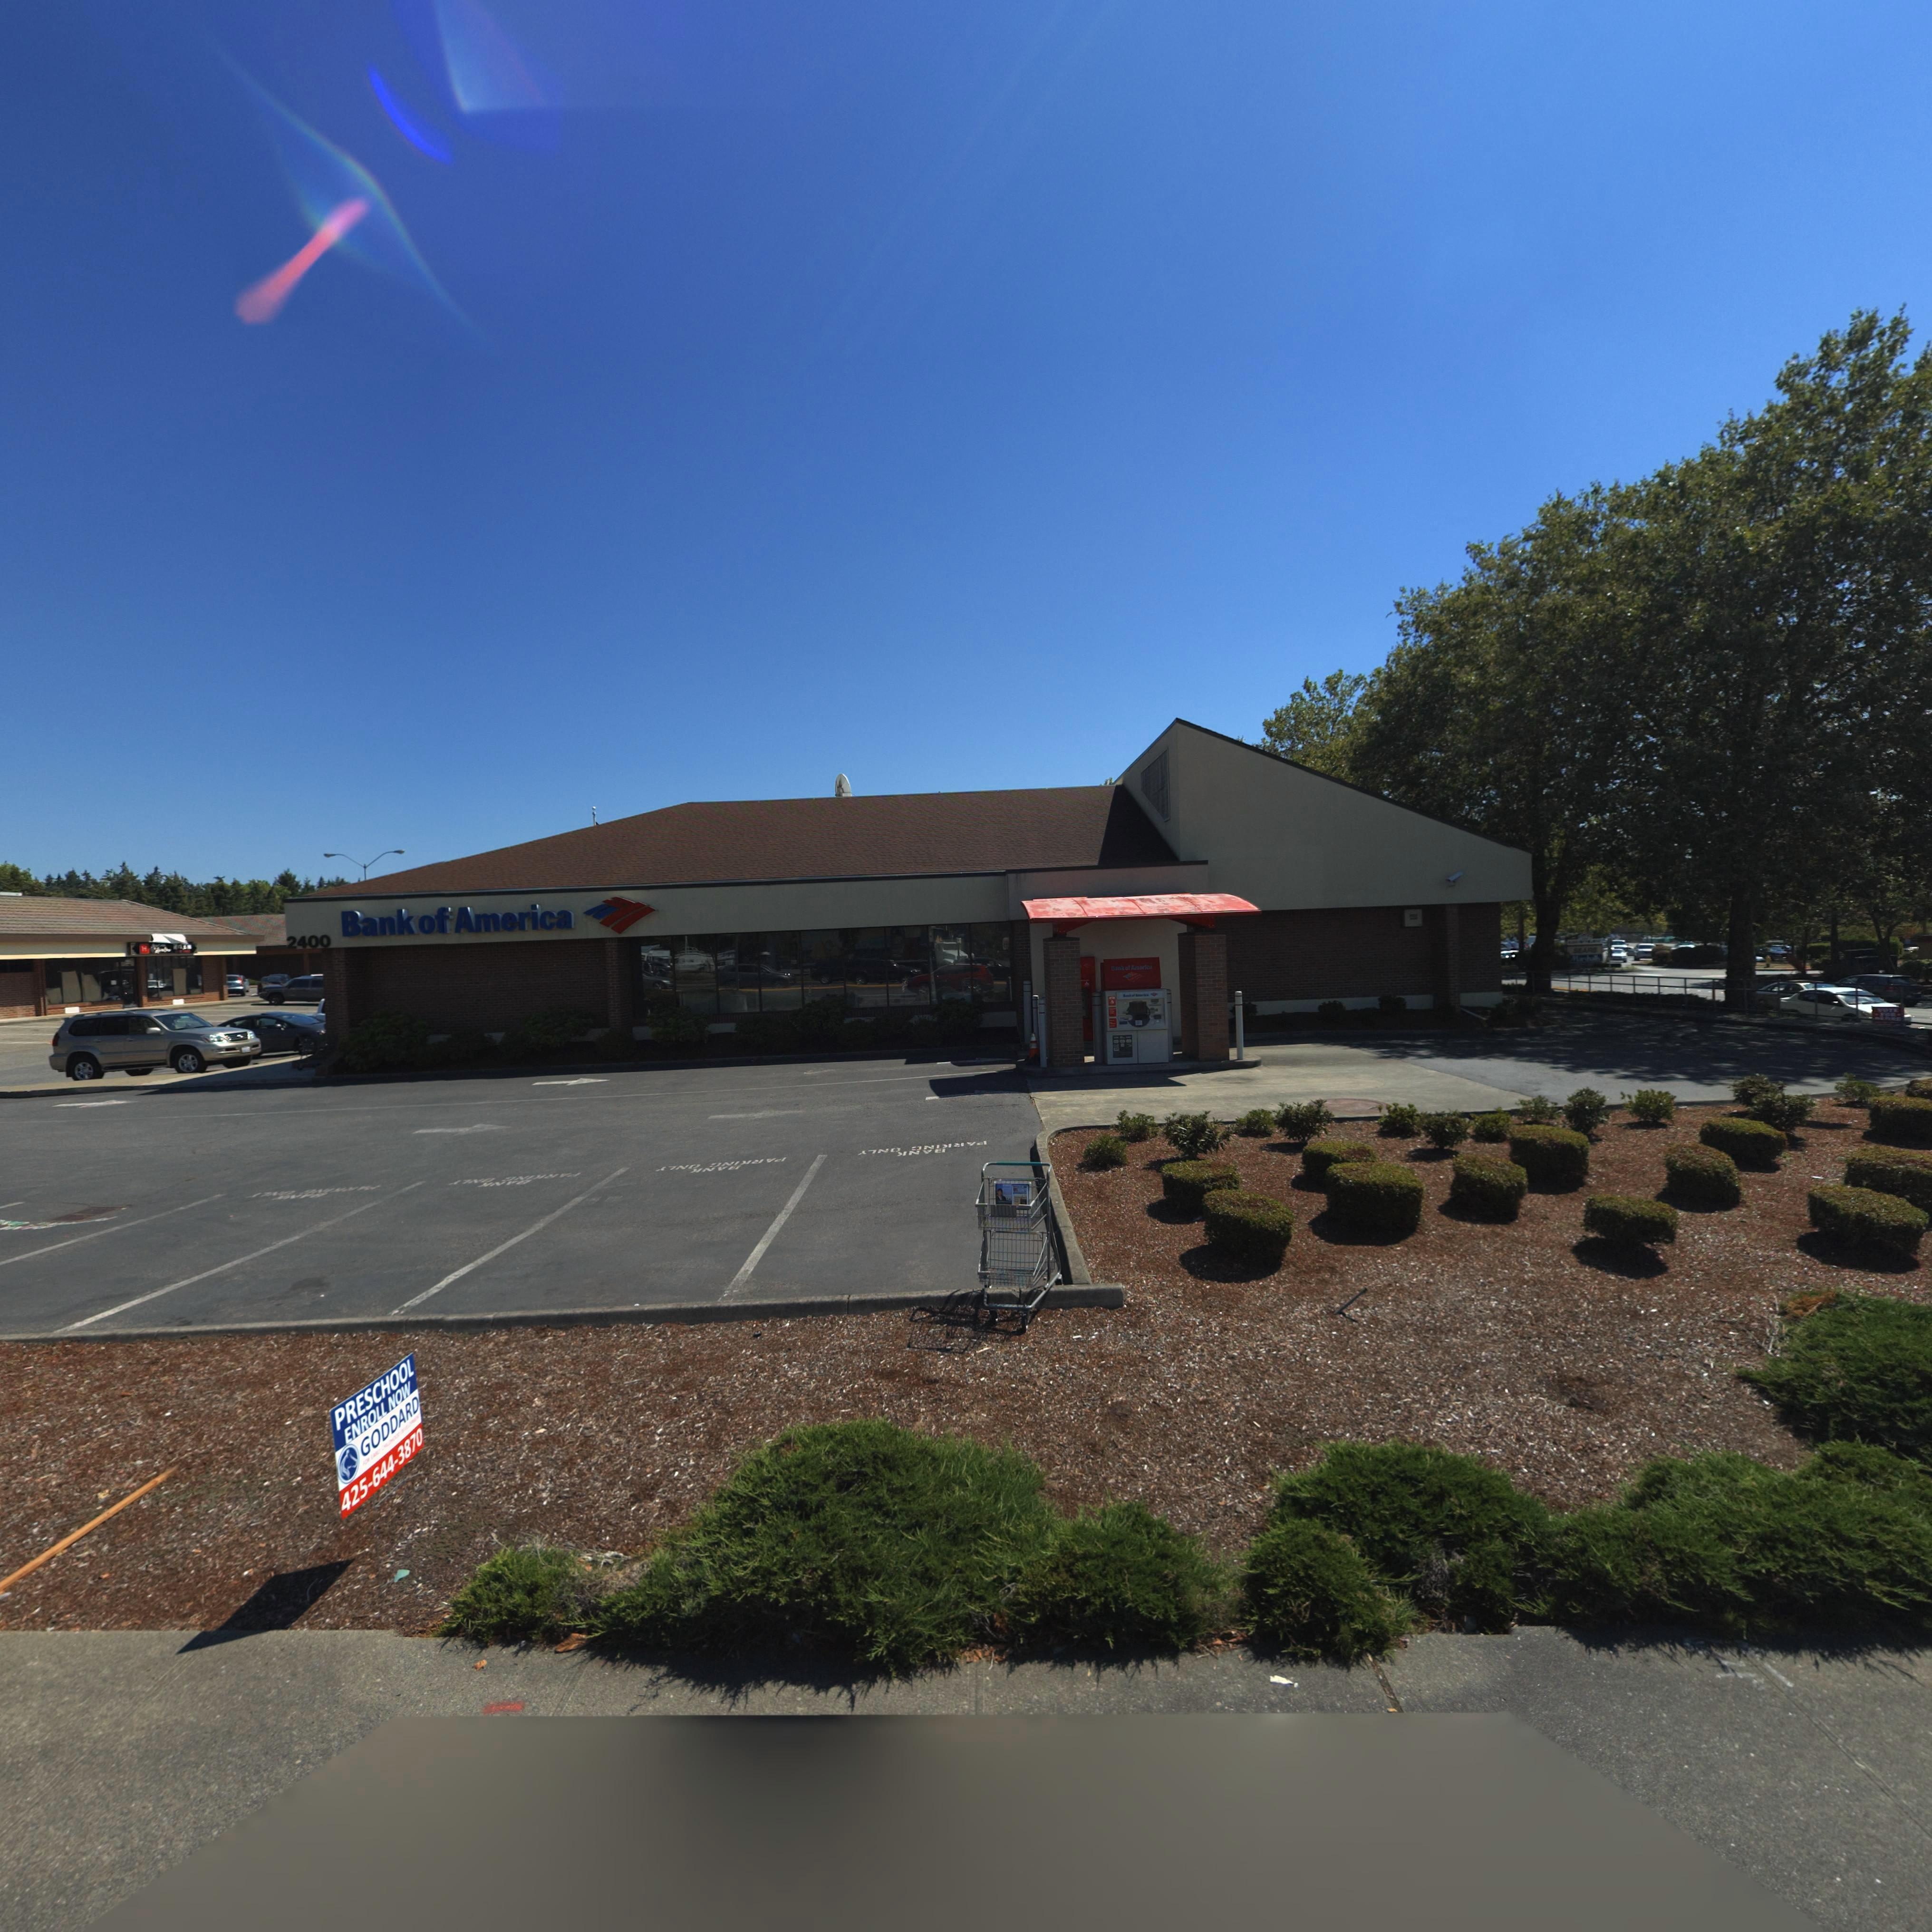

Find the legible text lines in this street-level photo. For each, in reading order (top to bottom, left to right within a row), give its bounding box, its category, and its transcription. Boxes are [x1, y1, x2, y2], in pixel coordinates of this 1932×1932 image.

[341, 903, 574, 937] BusinessName: Bank of America
[287, 936, 330, 949] StreetNumber: 2400